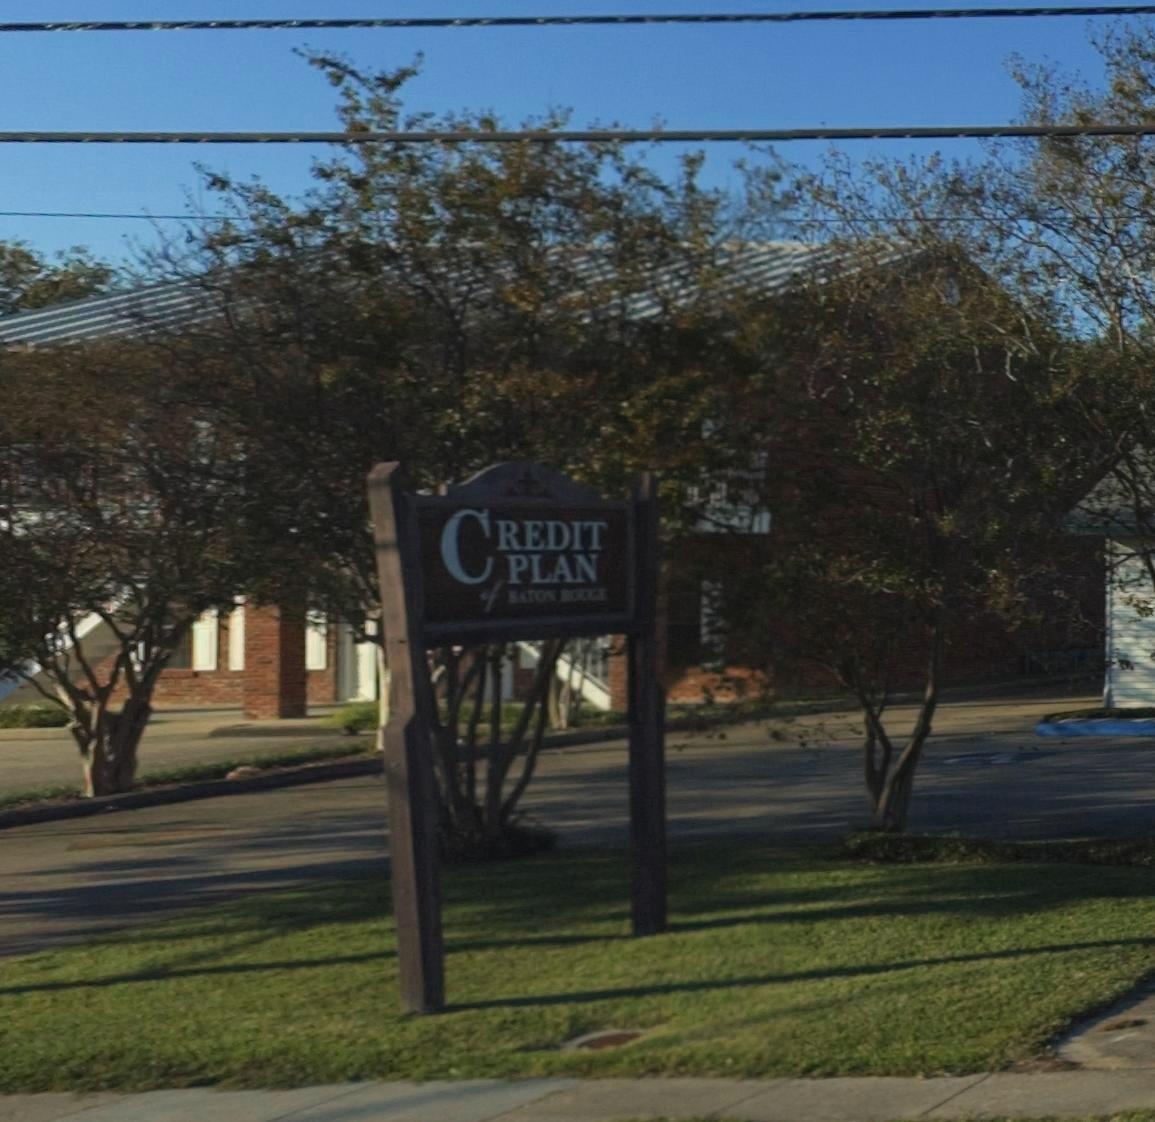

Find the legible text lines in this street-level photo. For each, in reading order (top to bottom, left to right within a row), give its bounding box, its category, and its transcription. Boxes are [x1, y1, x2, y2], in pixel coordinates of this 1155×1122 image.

[437, 507, 610, 587] BusinessName: CREDIT
[504, 552, 602, 586] BusinessName: PLAN
[477, 576, 609, 615] BusinessName: of BATON ROUGE